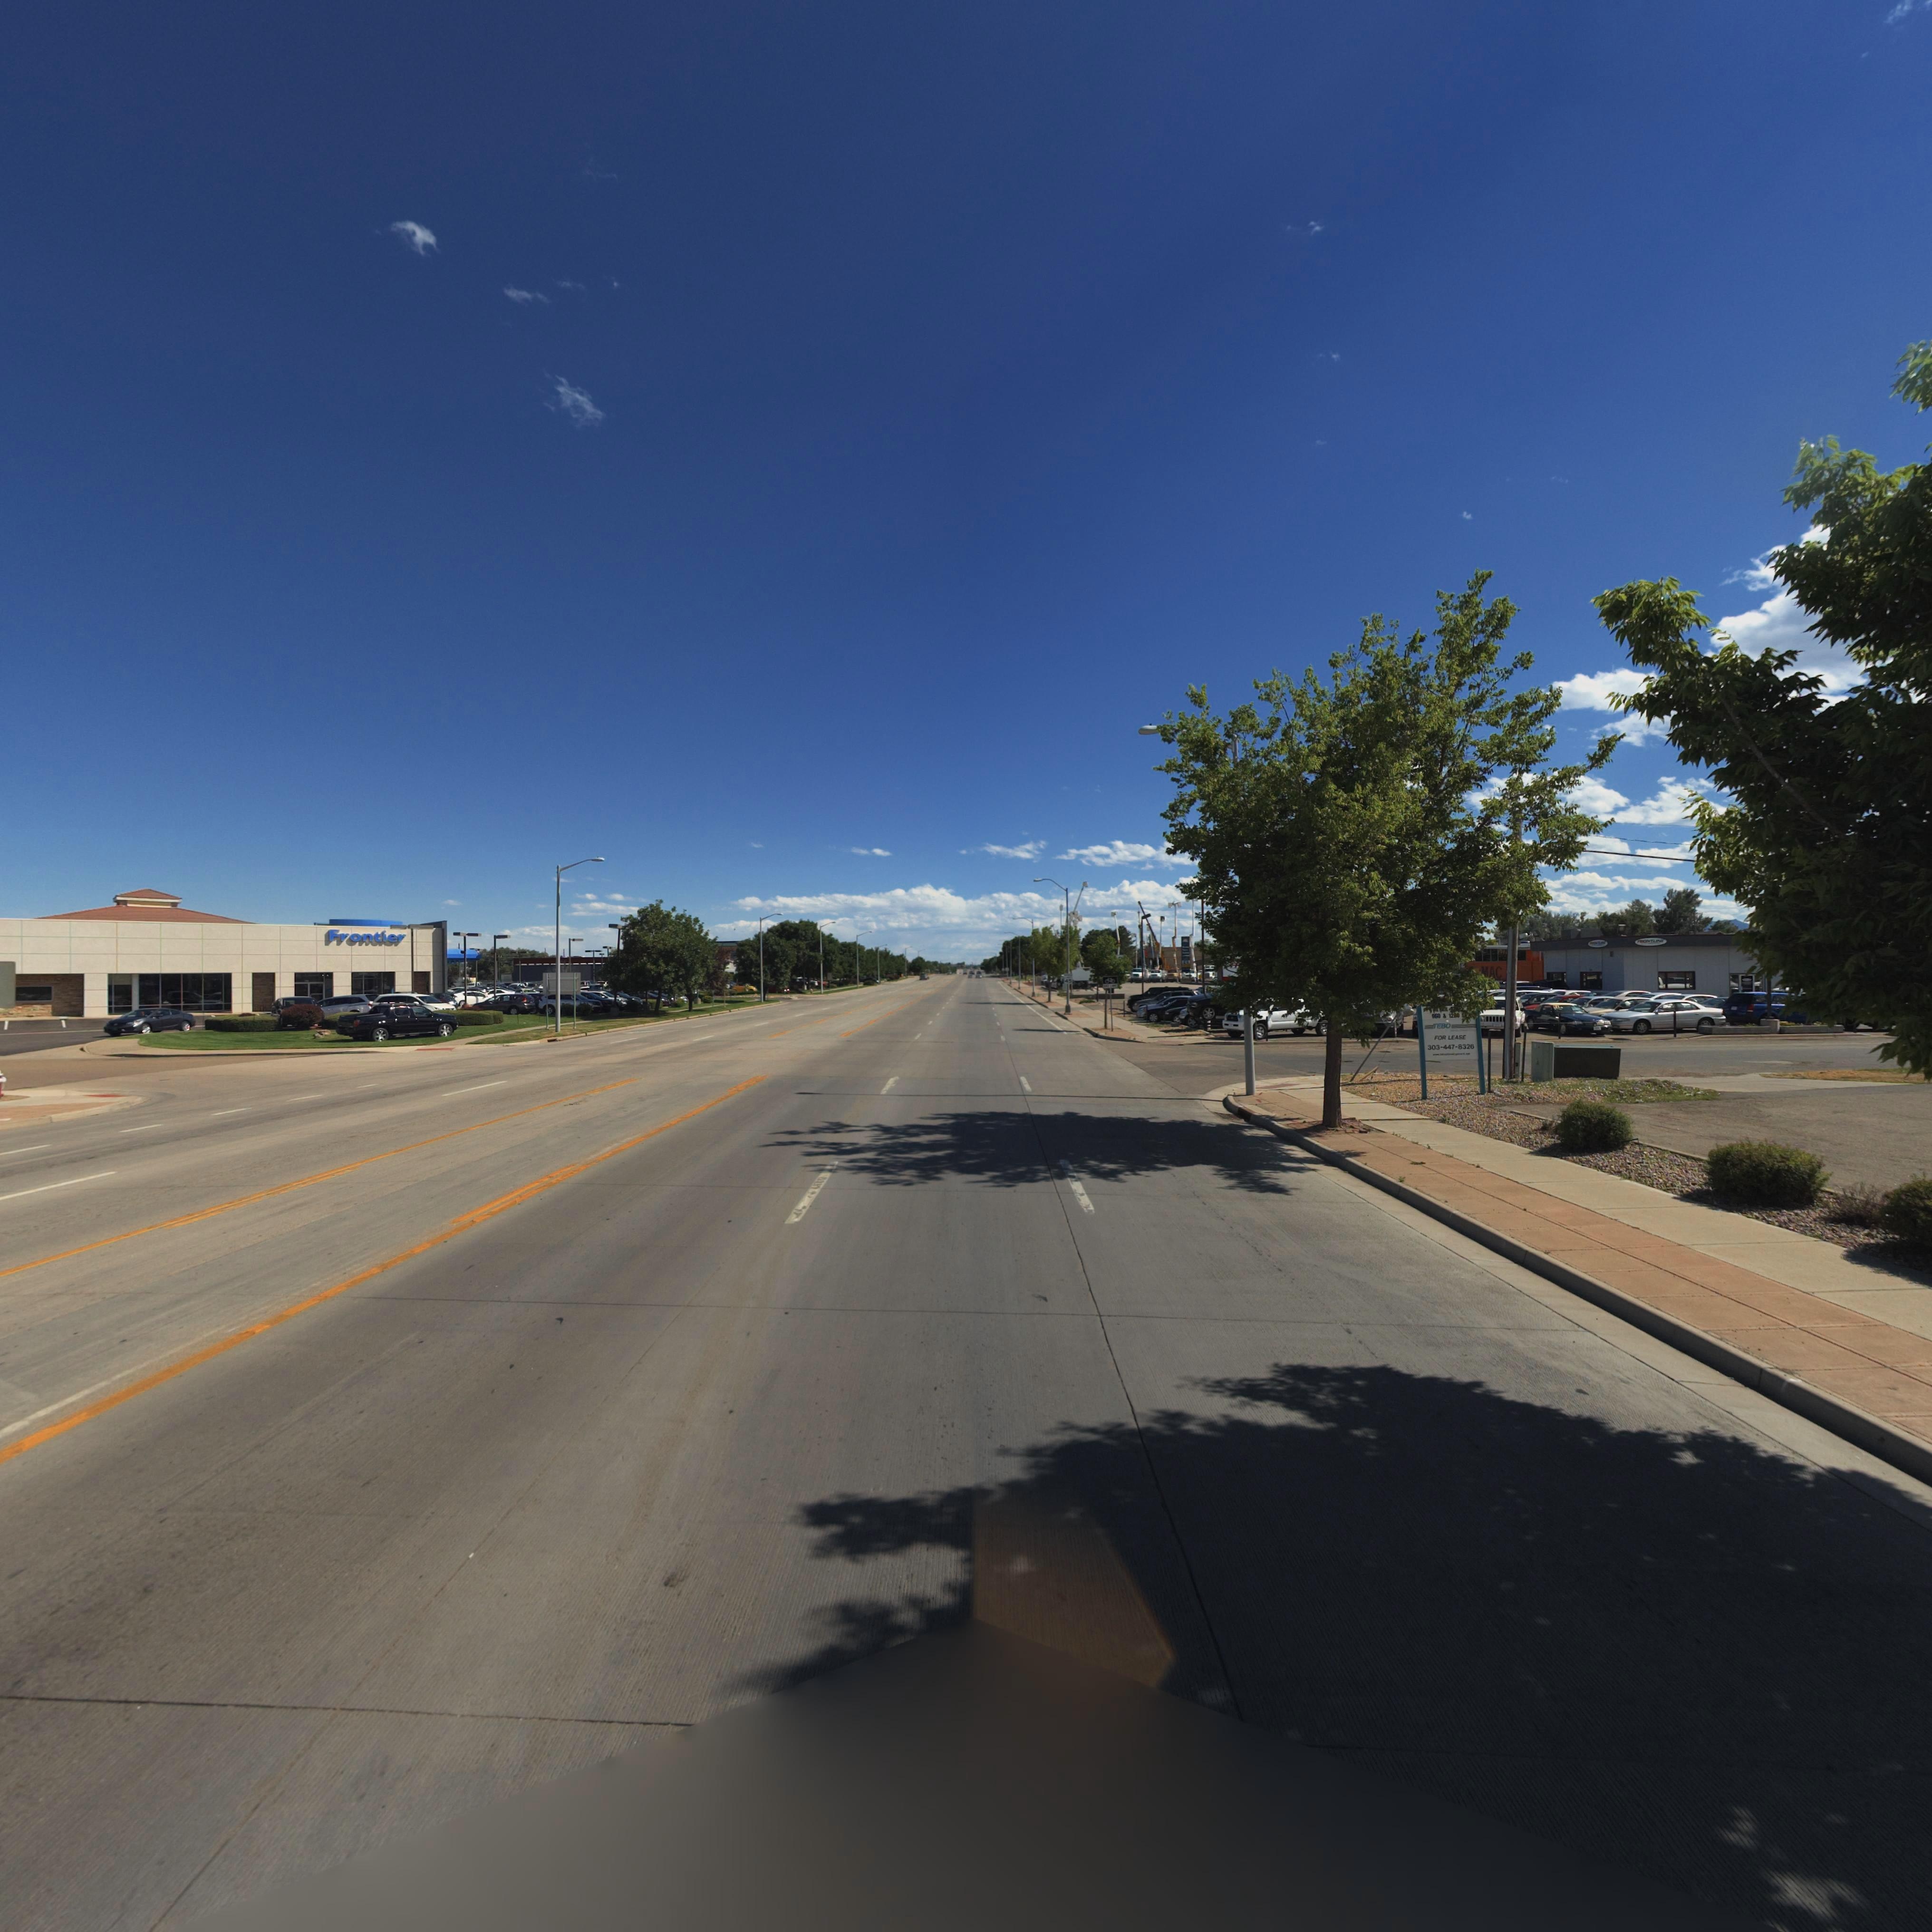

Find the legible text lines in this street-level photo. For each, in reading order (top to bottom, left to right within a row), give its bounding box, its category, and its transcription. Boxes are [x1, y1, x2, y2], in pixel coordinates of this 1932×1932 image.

[1588, 940, 1606, 945] BusinessName: **ON*L***
[1636, 939, 1664, 943] BusinessName: **RONTL***
[1479, 965, 1502, 981] BusinessName: *AC